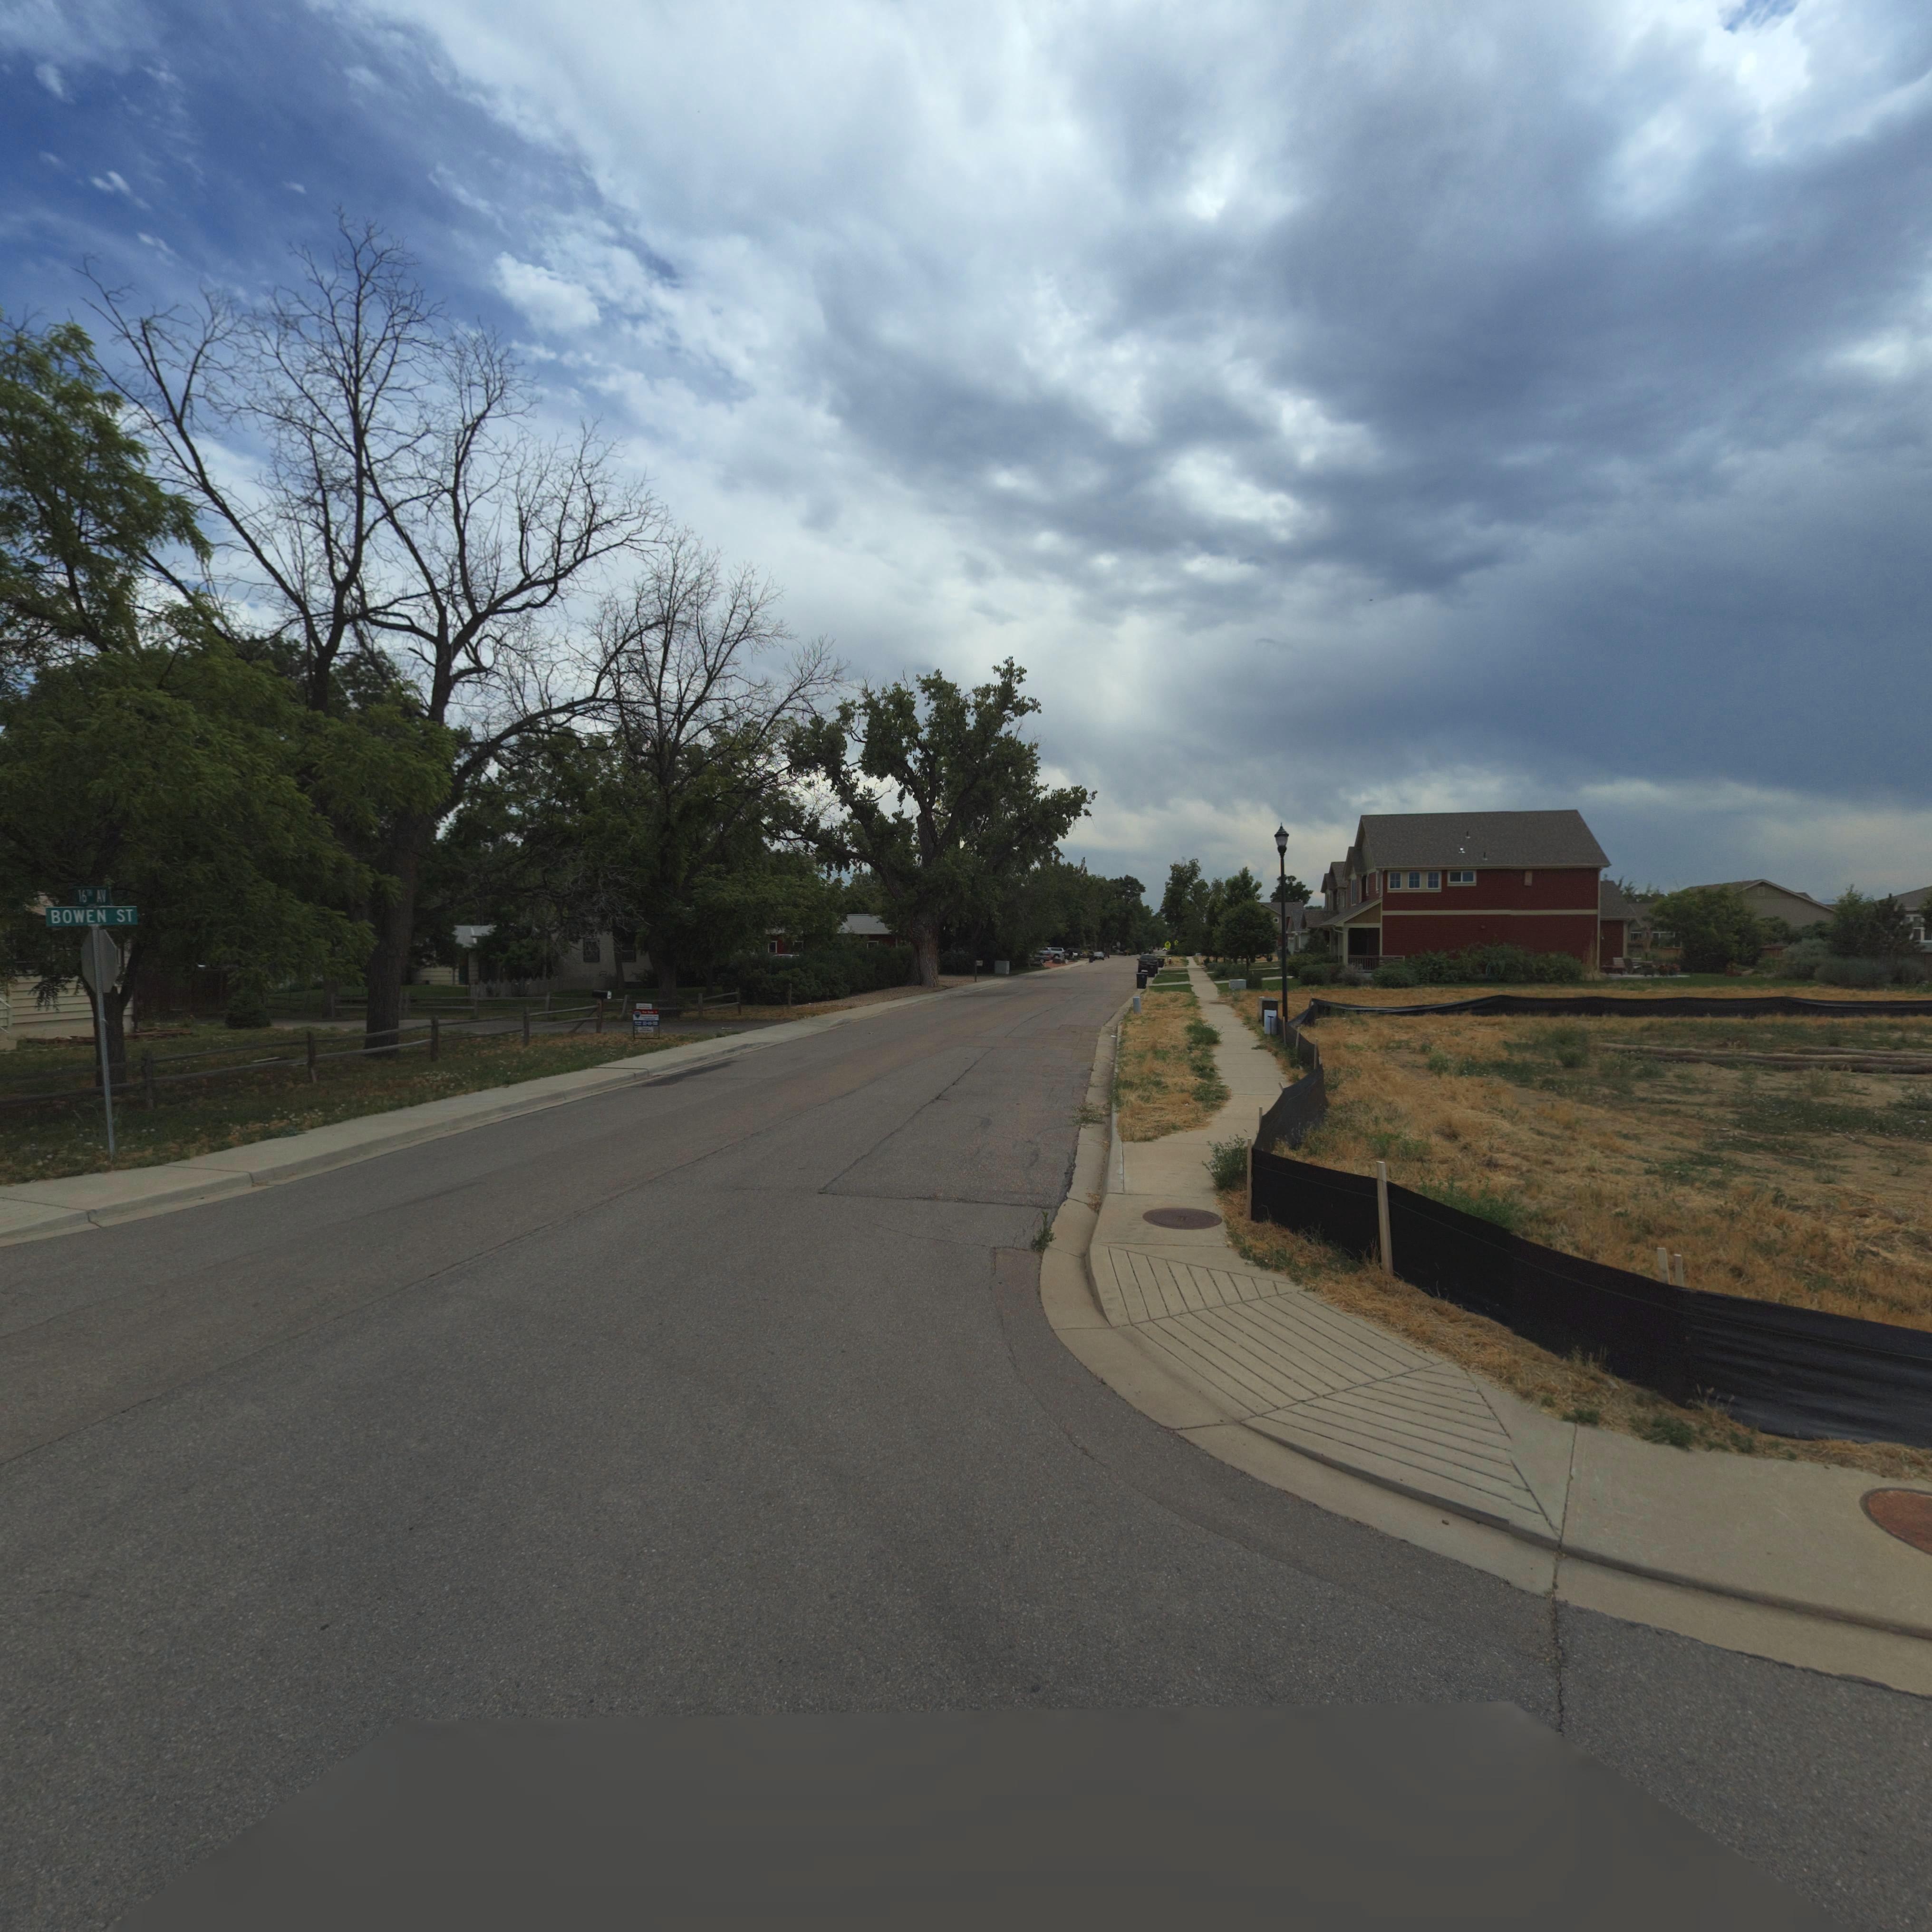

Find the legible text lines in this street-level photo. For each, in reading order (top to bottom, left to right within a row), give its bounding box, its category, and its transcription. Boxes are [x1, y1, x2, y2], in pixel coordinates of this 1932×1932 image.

[77, 889, 106, 902] StreetName: 16TH AV
[50, 908, 134, 924] StreetName: BOWEN ST